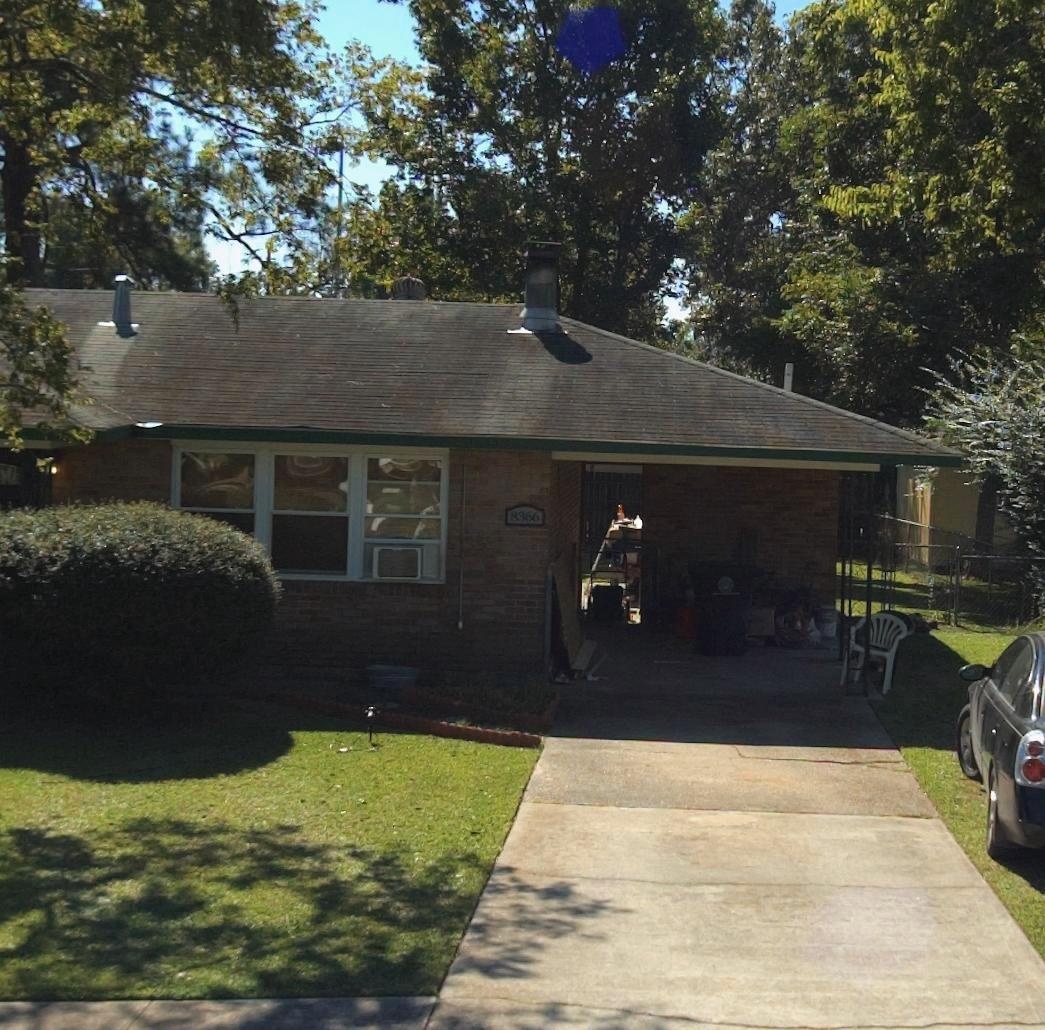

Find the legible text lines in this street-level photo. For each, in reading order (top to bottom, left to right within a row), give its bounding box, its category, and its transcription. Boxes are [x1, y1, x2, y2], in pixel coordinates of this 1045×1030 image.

[508, 508, 542, 524] StreetNumber: 8366